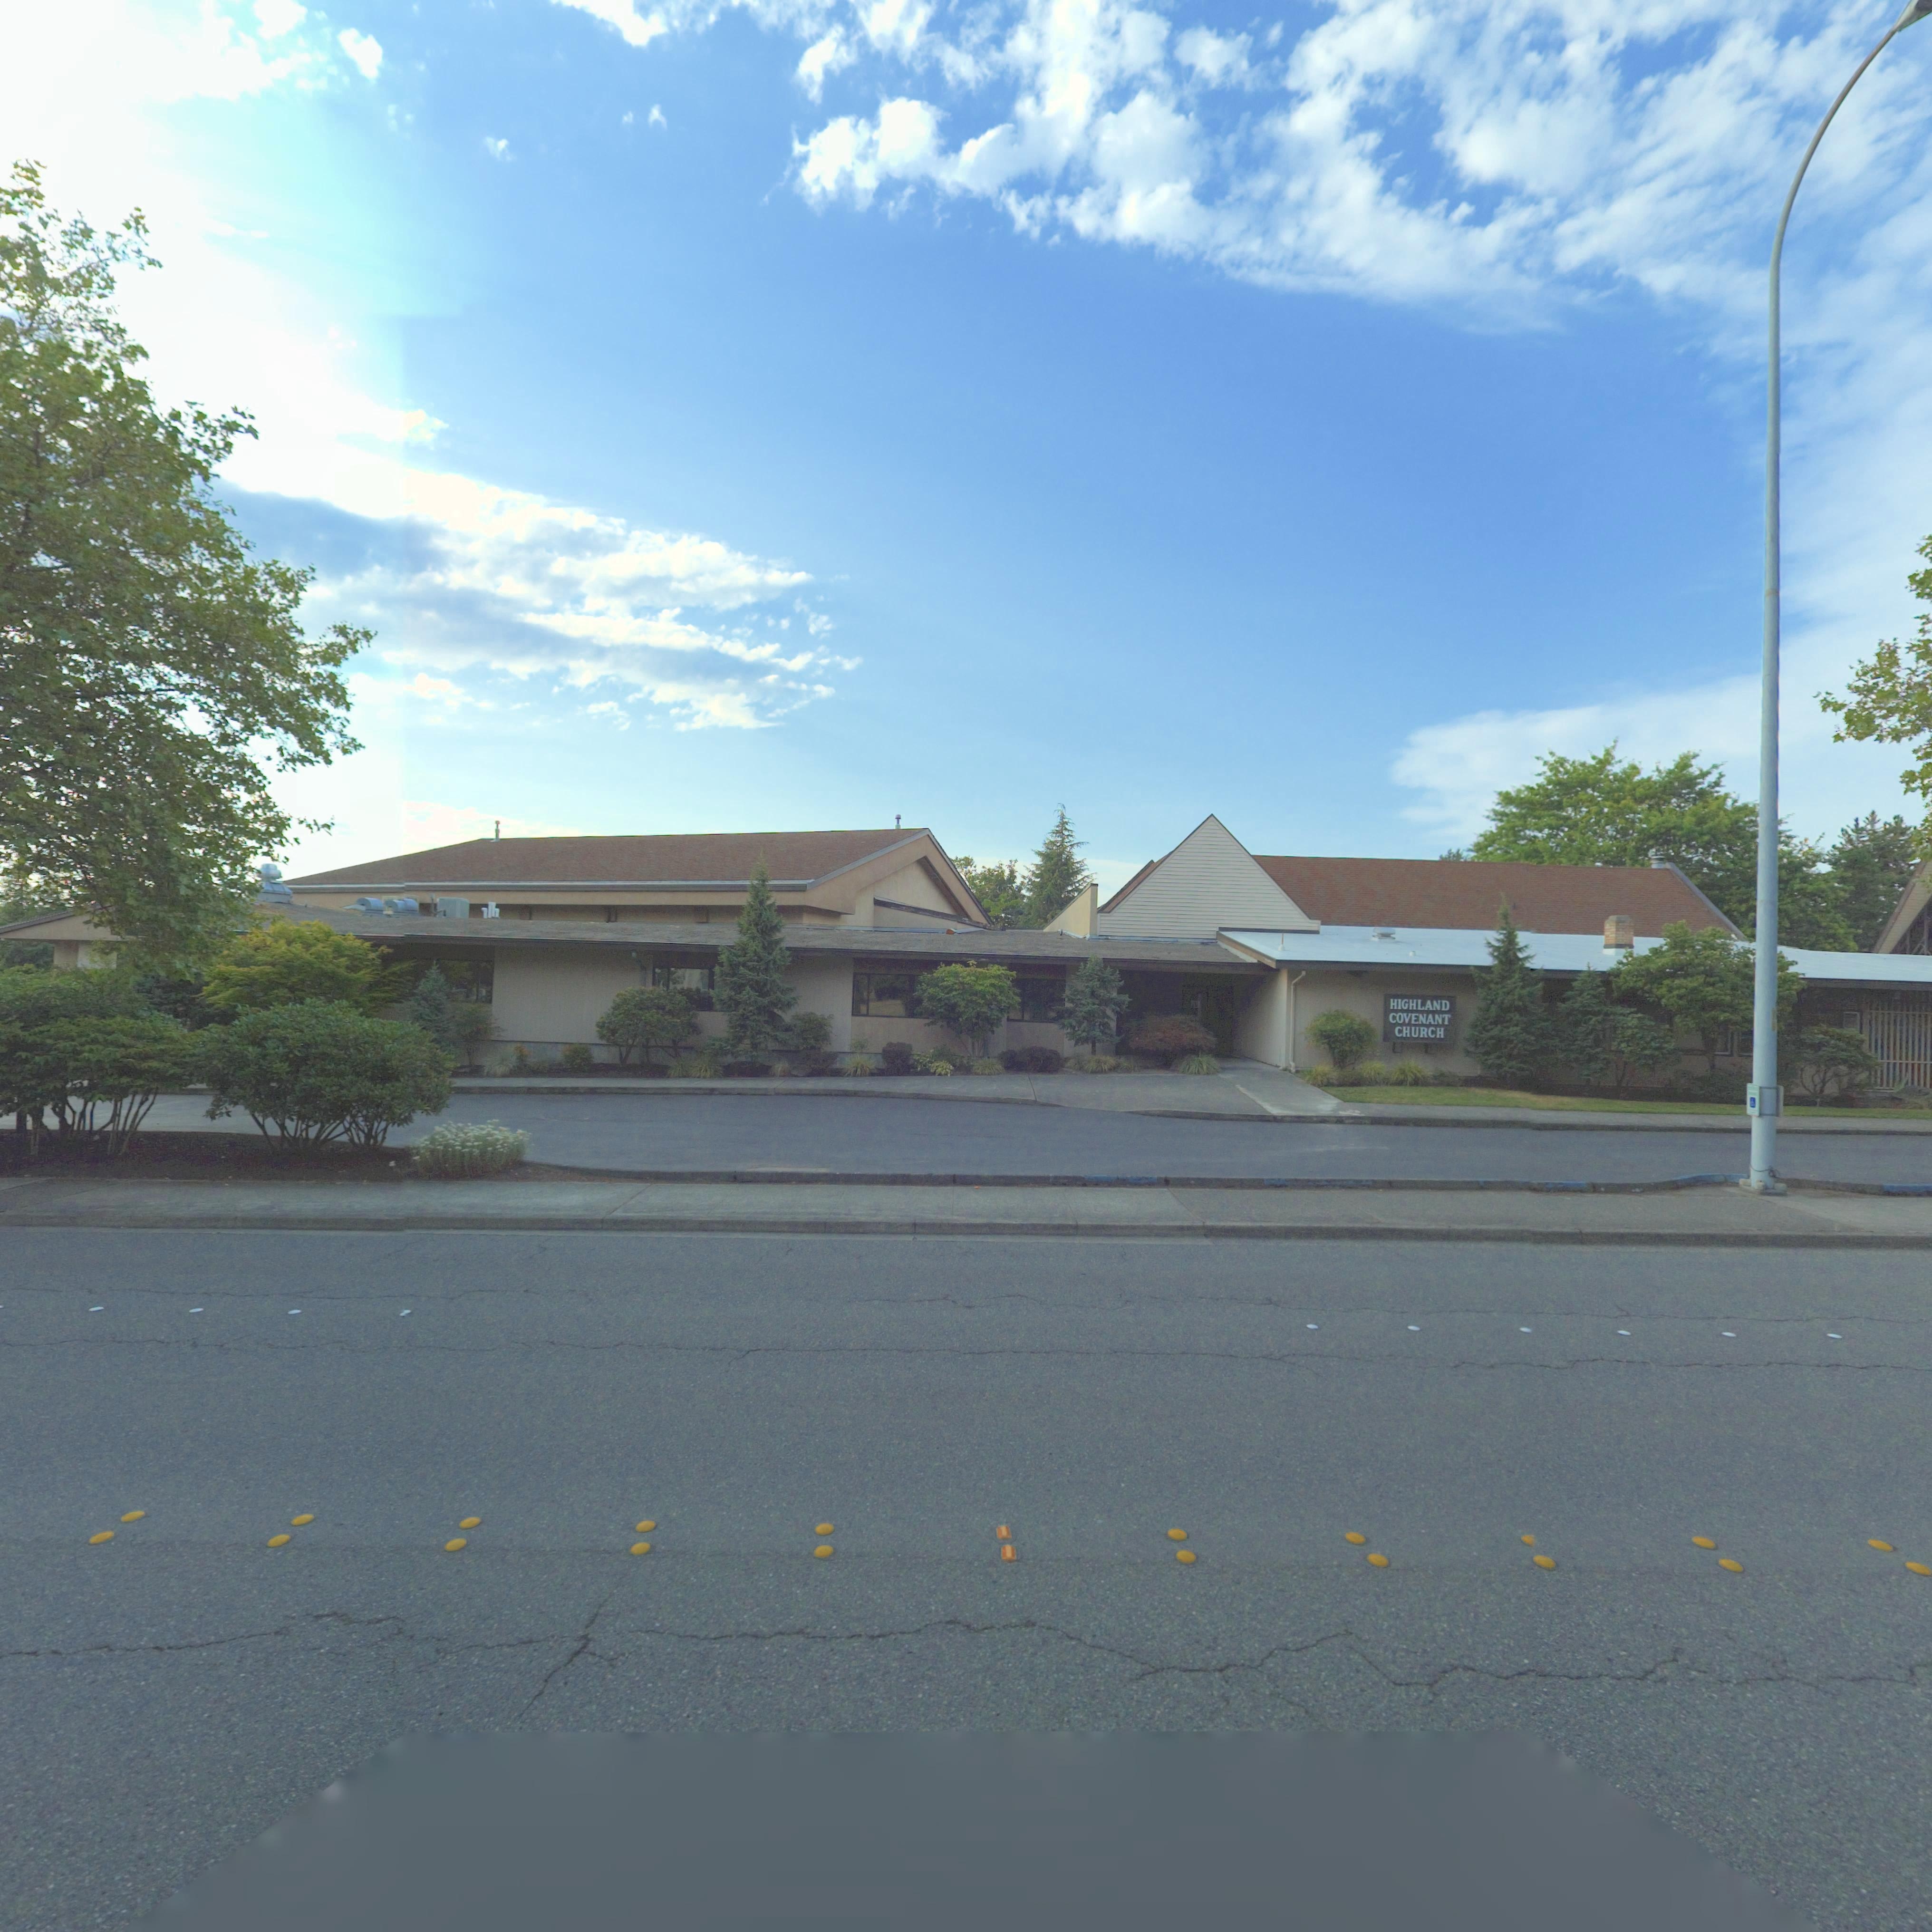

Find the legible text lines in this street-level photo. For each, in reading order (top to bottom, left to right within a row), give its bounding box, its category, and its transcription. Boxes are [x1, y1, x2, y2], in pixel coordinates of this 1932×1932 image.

[1388, 997, 1451, 1012] BusinessName: HIGHLAND
[1388, 1012, 1452, 1025] BusinessName: COVENANT
[1394, 1026, 1446, 1038] BusinessName: CHURCH